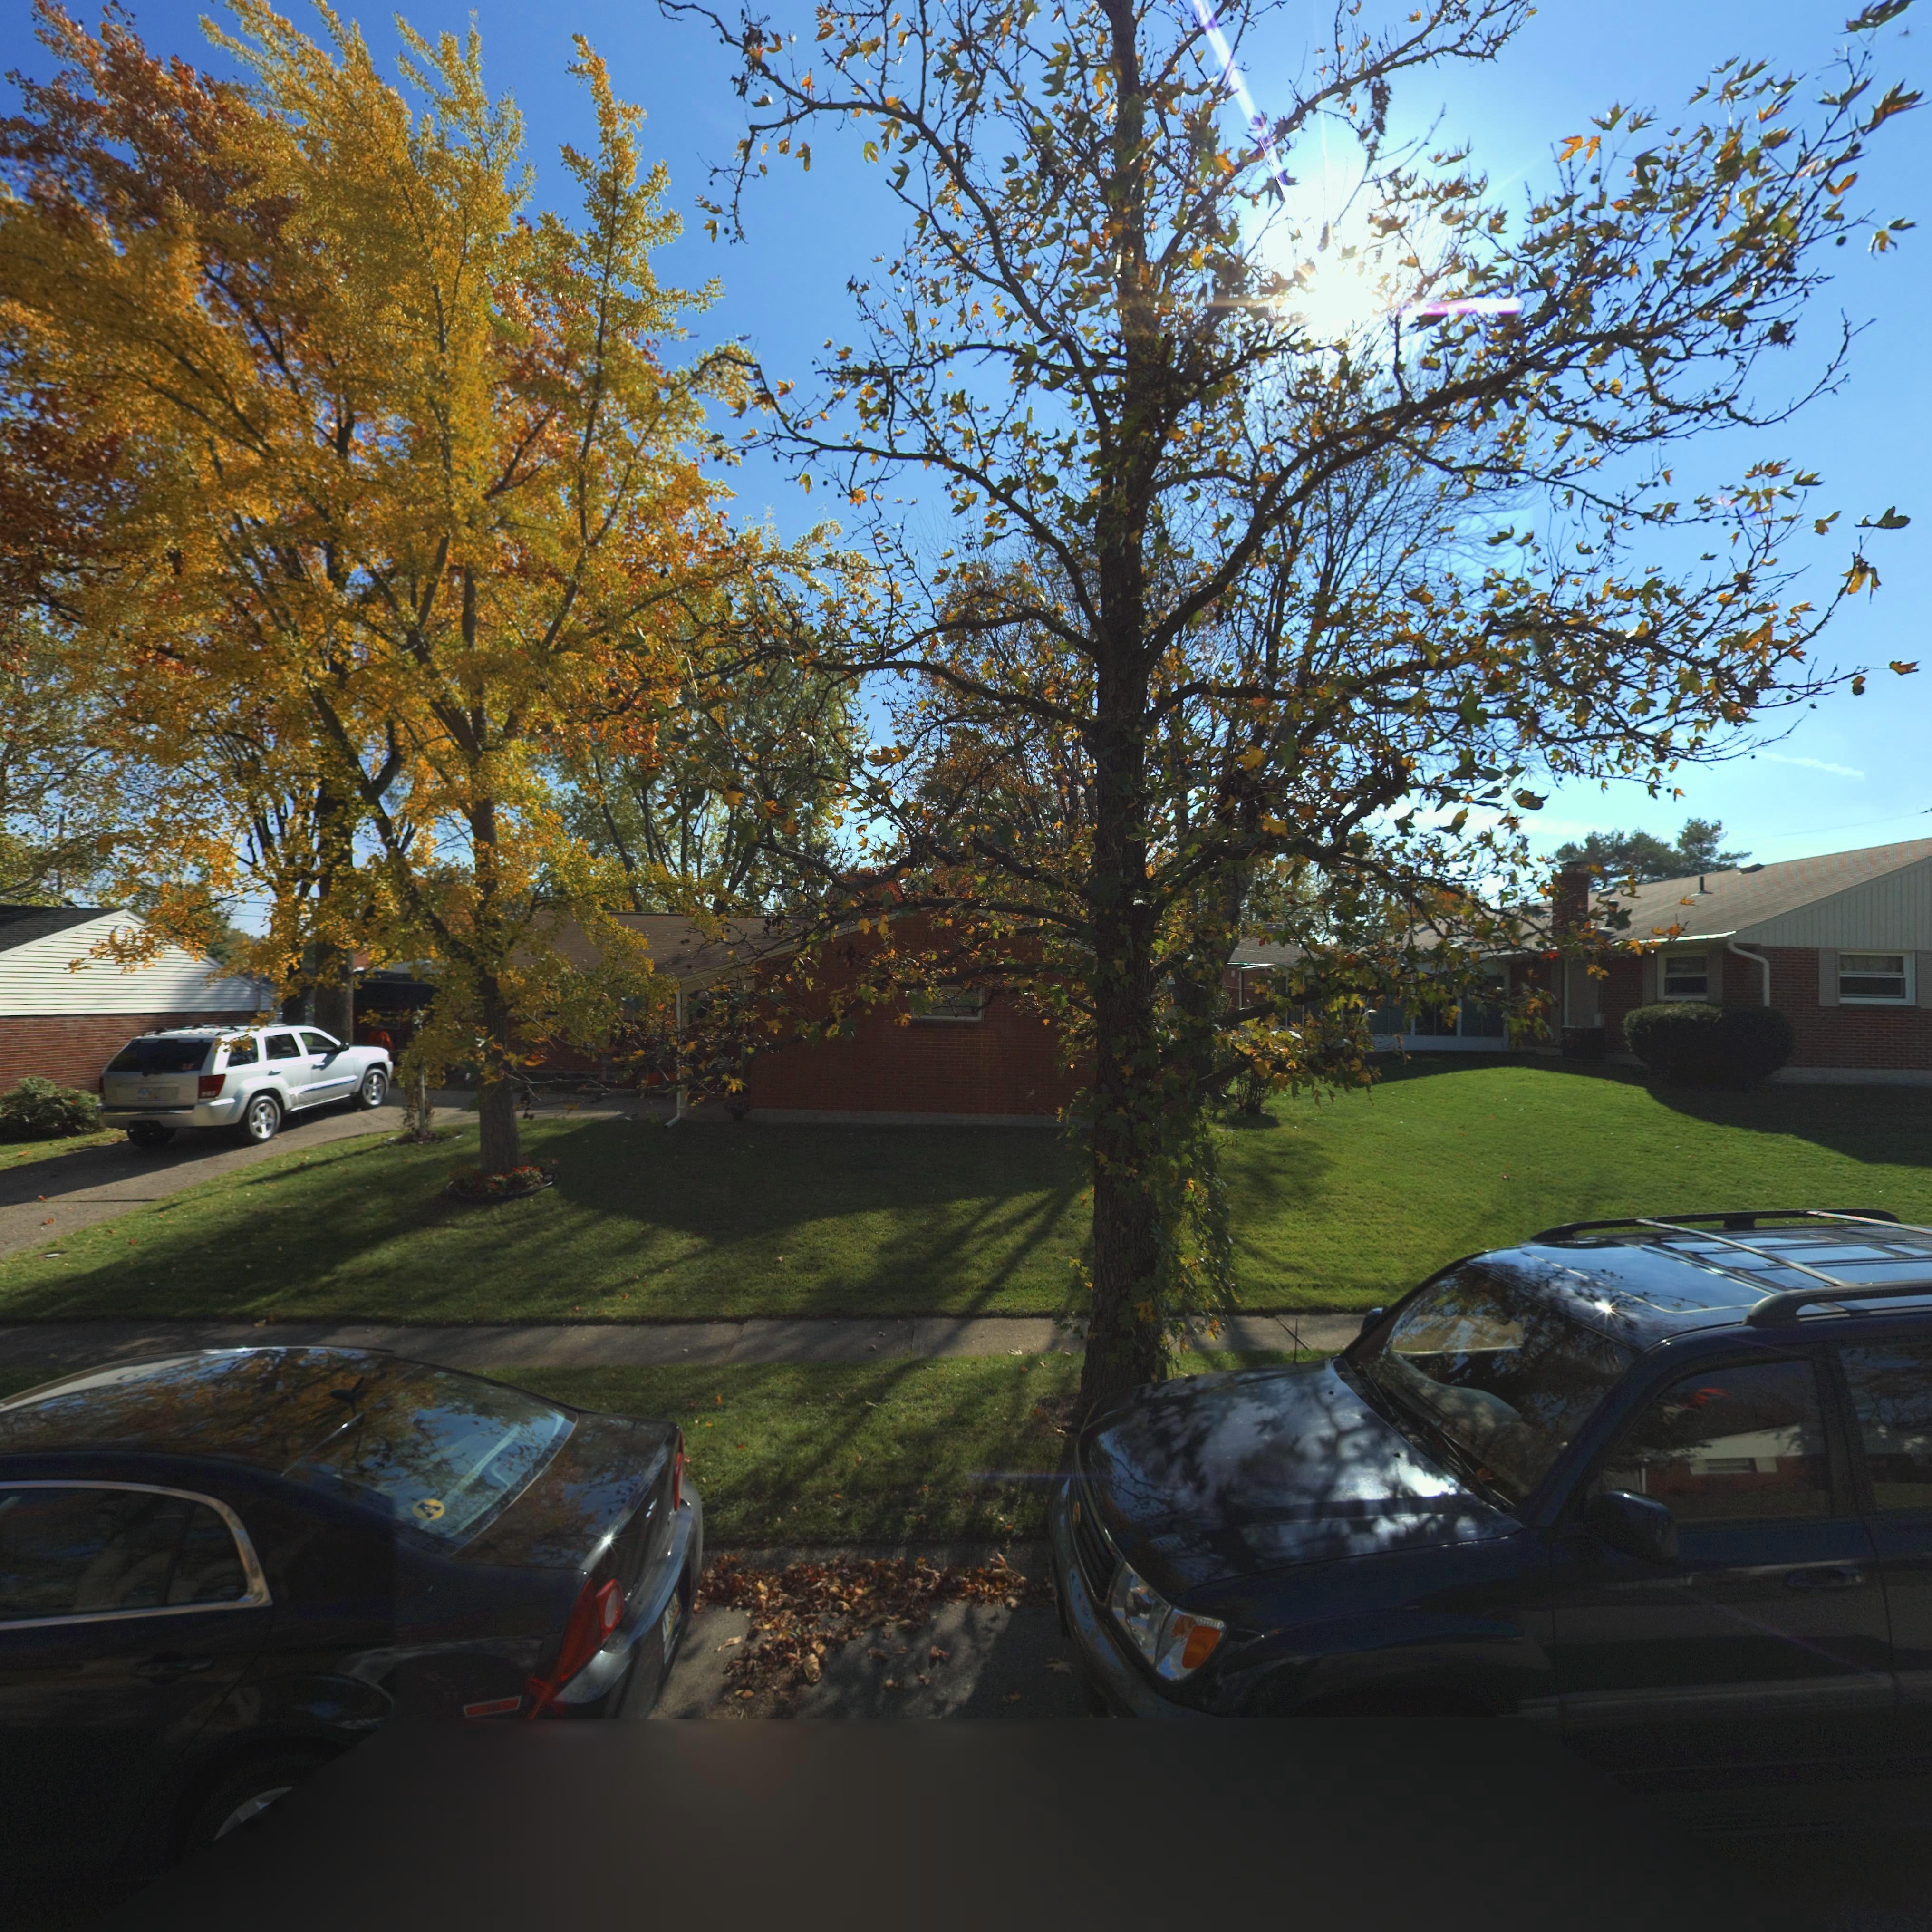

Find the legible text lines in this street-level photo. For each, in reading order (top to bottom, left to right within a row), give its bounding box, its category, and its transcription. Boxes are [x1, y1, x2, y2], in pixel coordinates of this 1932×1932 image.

[415, 1500, 443, 1520] None: A